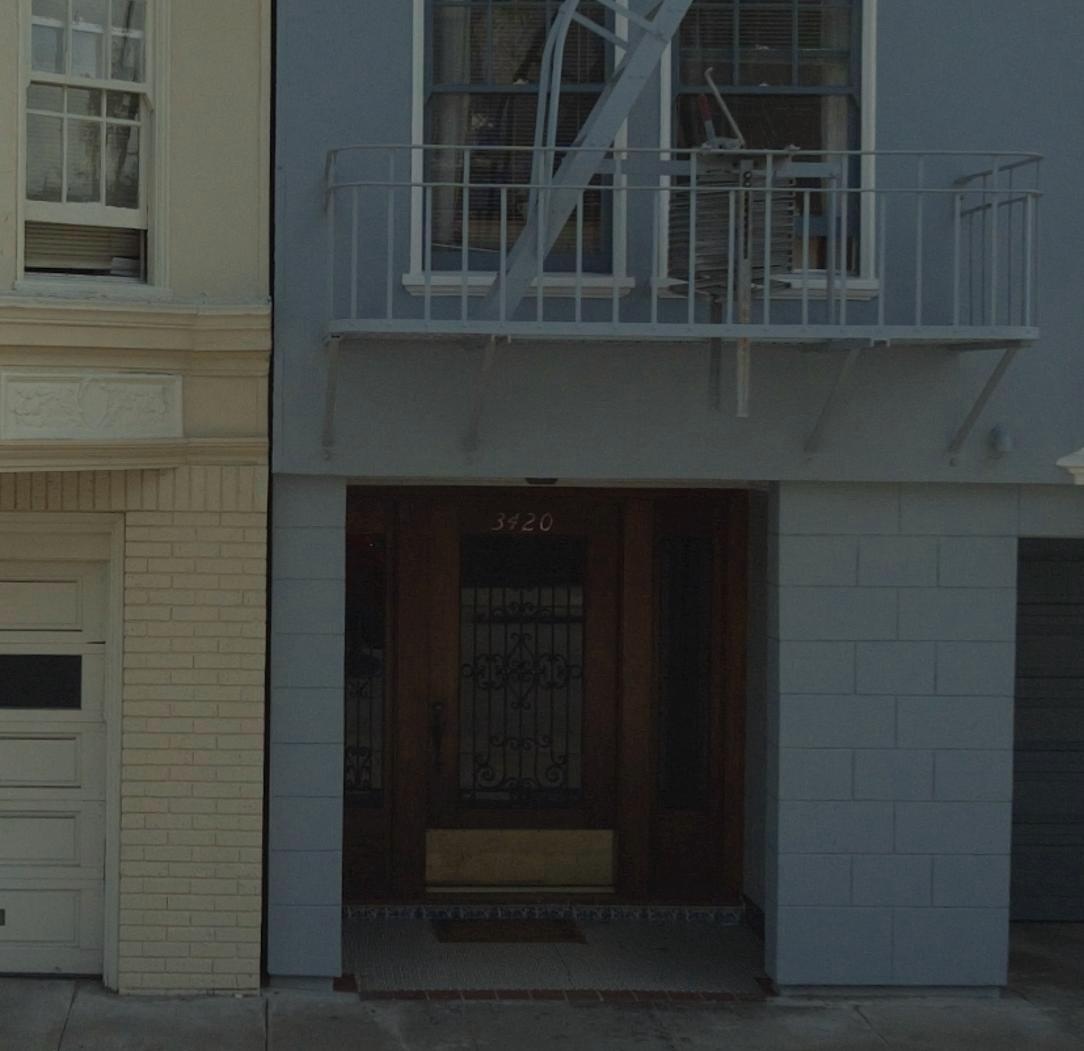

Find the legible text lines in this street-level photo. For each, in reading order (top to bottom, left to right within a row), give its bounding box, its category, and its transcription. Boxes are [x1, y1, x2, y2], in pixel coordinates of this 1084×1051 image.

[486, 509, 555, 534] StreetNumber: 3420